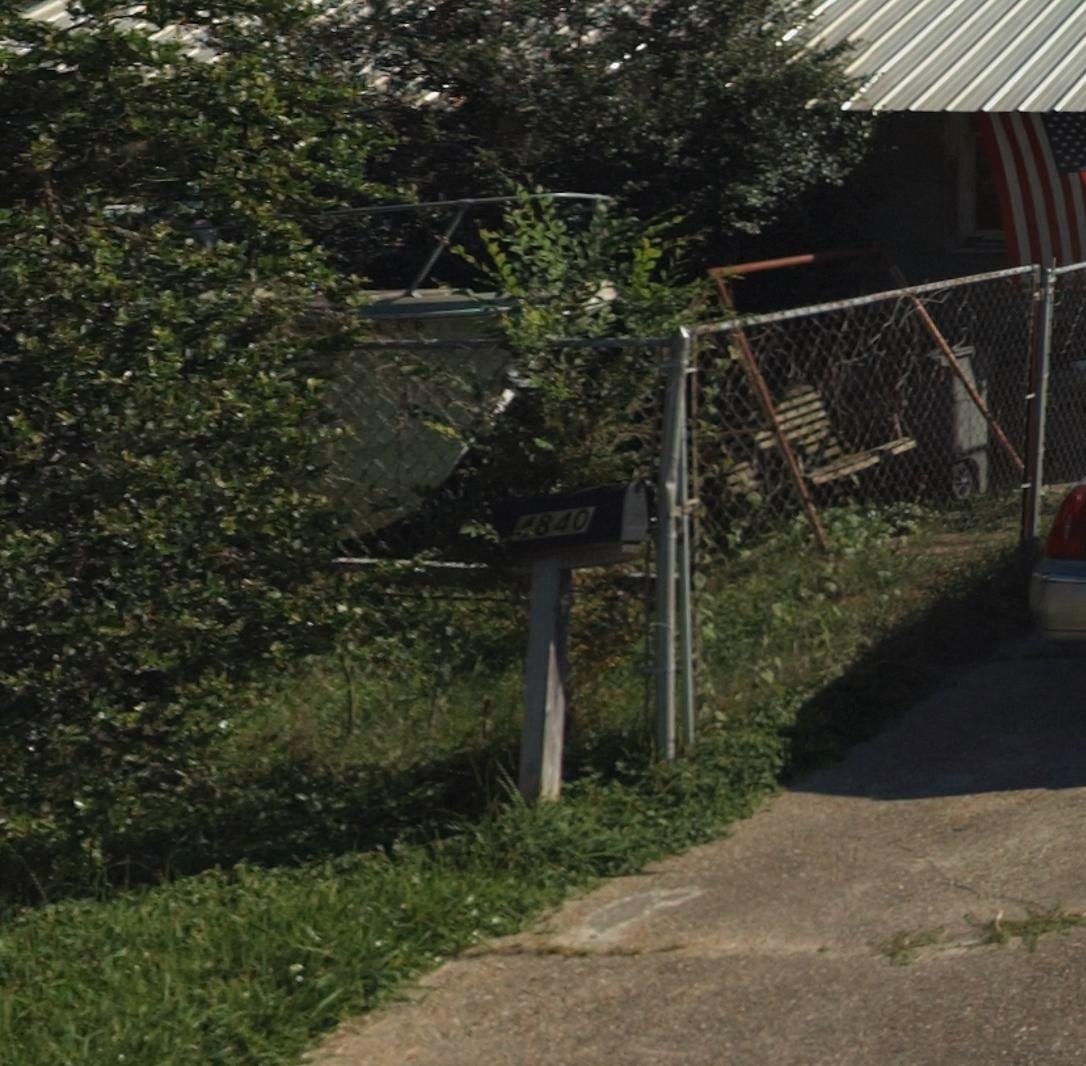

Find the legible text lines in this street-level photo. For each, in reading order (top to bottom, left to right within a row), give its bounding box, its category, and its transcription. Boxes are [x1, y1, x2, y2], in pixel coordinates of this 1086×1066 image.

[514, 507, 593, 540] StreetNumber: 4840